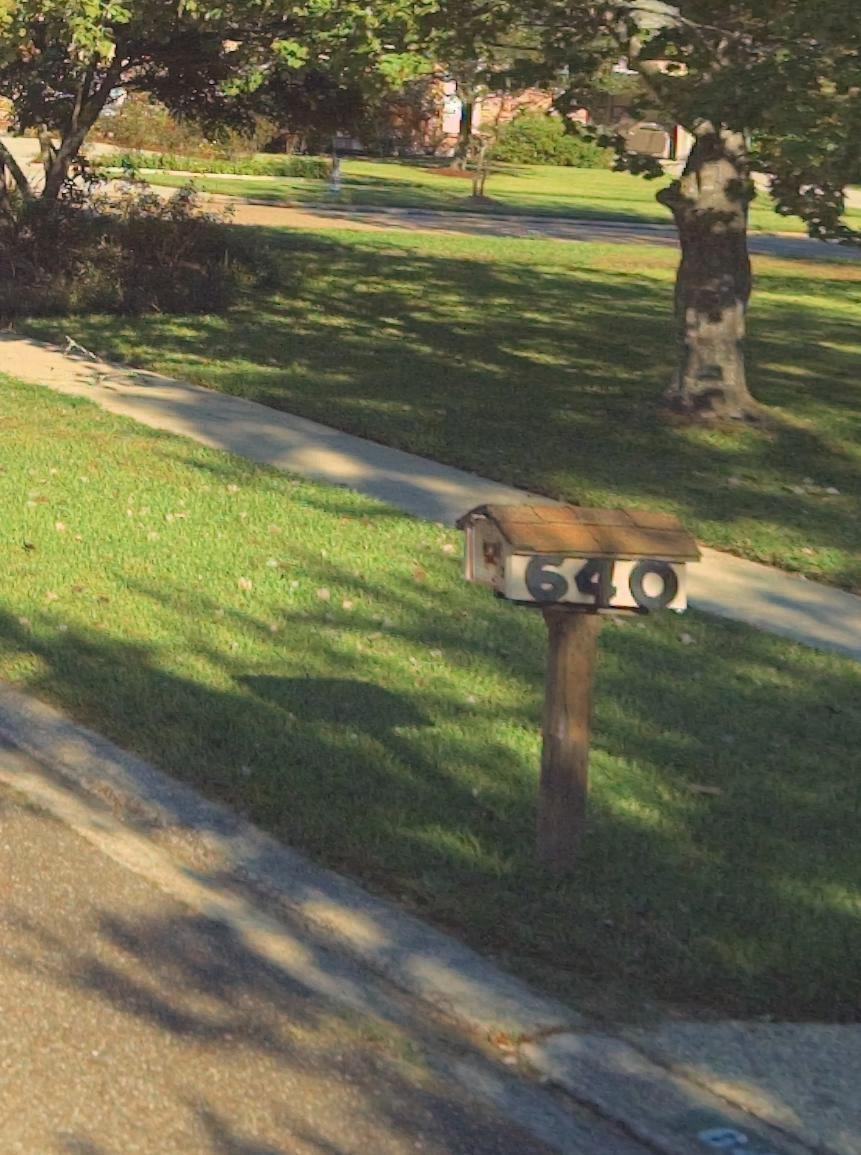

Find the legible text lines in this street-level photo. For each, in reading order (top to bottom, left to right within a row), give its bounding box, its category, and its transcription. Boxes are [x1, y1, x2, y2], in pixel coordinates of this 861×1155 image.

[521, 551, 682, 612] StreetNumber: 640